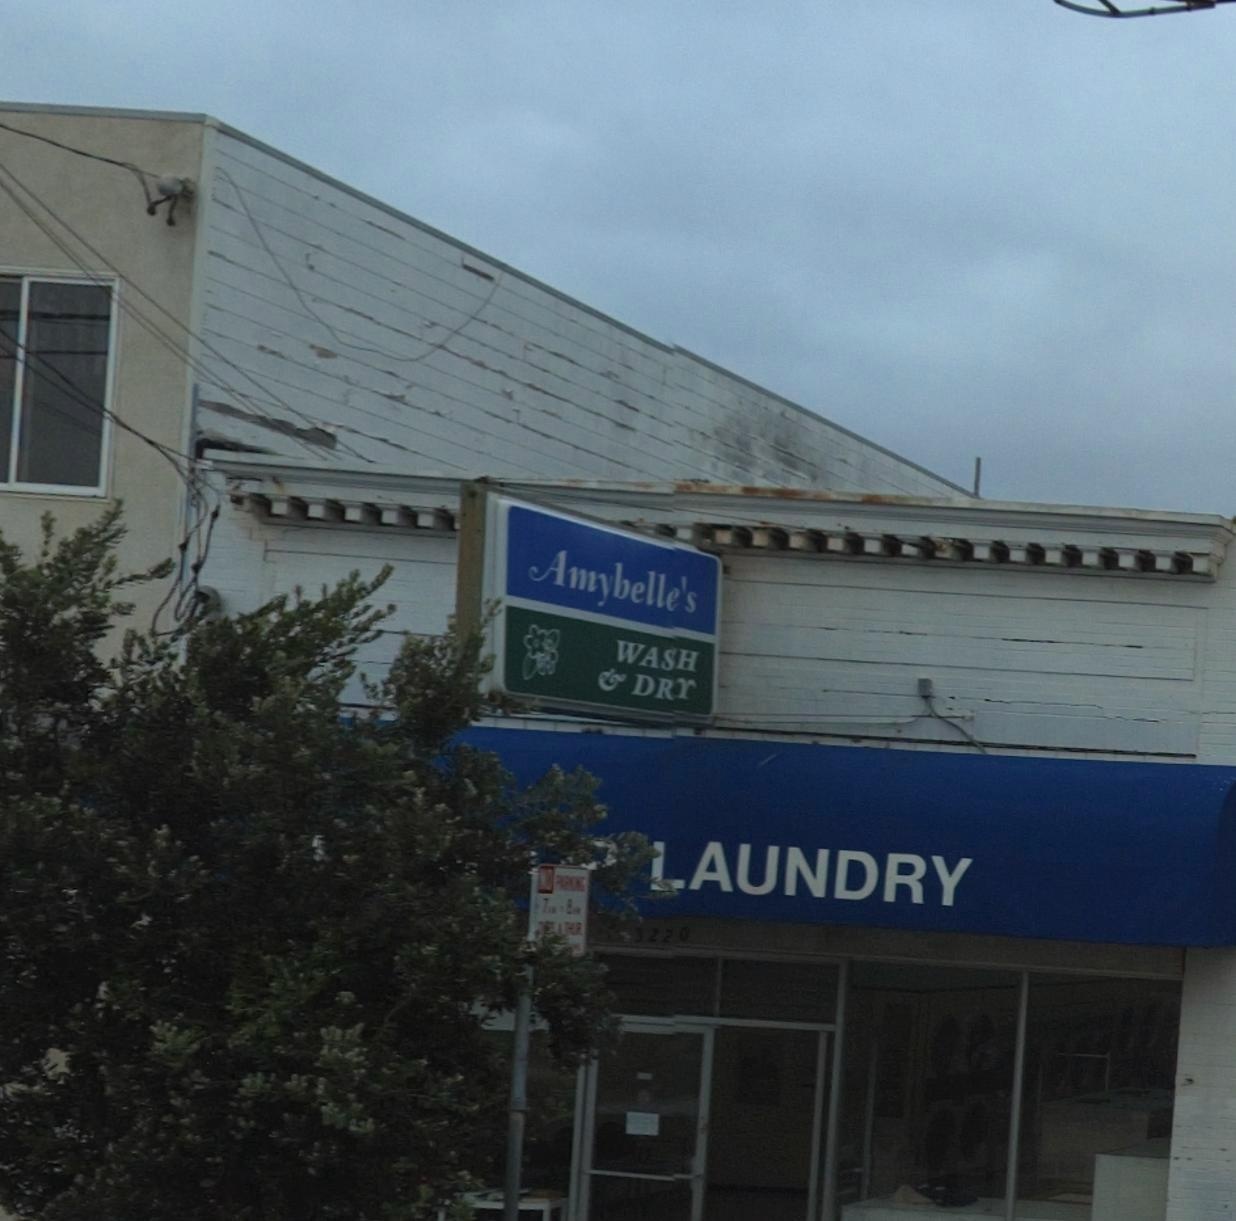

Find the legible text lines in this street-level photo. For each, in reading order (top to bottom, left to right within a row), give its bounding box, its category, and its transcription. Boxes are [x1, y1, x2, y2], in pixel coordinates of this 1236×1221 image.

[523, 546, 700, 616] BusinessName: Amybelle's
[613, 637, 702, 674] None: WASH
[627, 670, 700, 704] None: DRY
[646, 836, 978, 911] BusinessName: *AUNDRY
[540, 895, 551, 915] None: 7
[564, 894, 576, 917] None: 8
[632, 923, 694, 946] StreetNumber: 3220